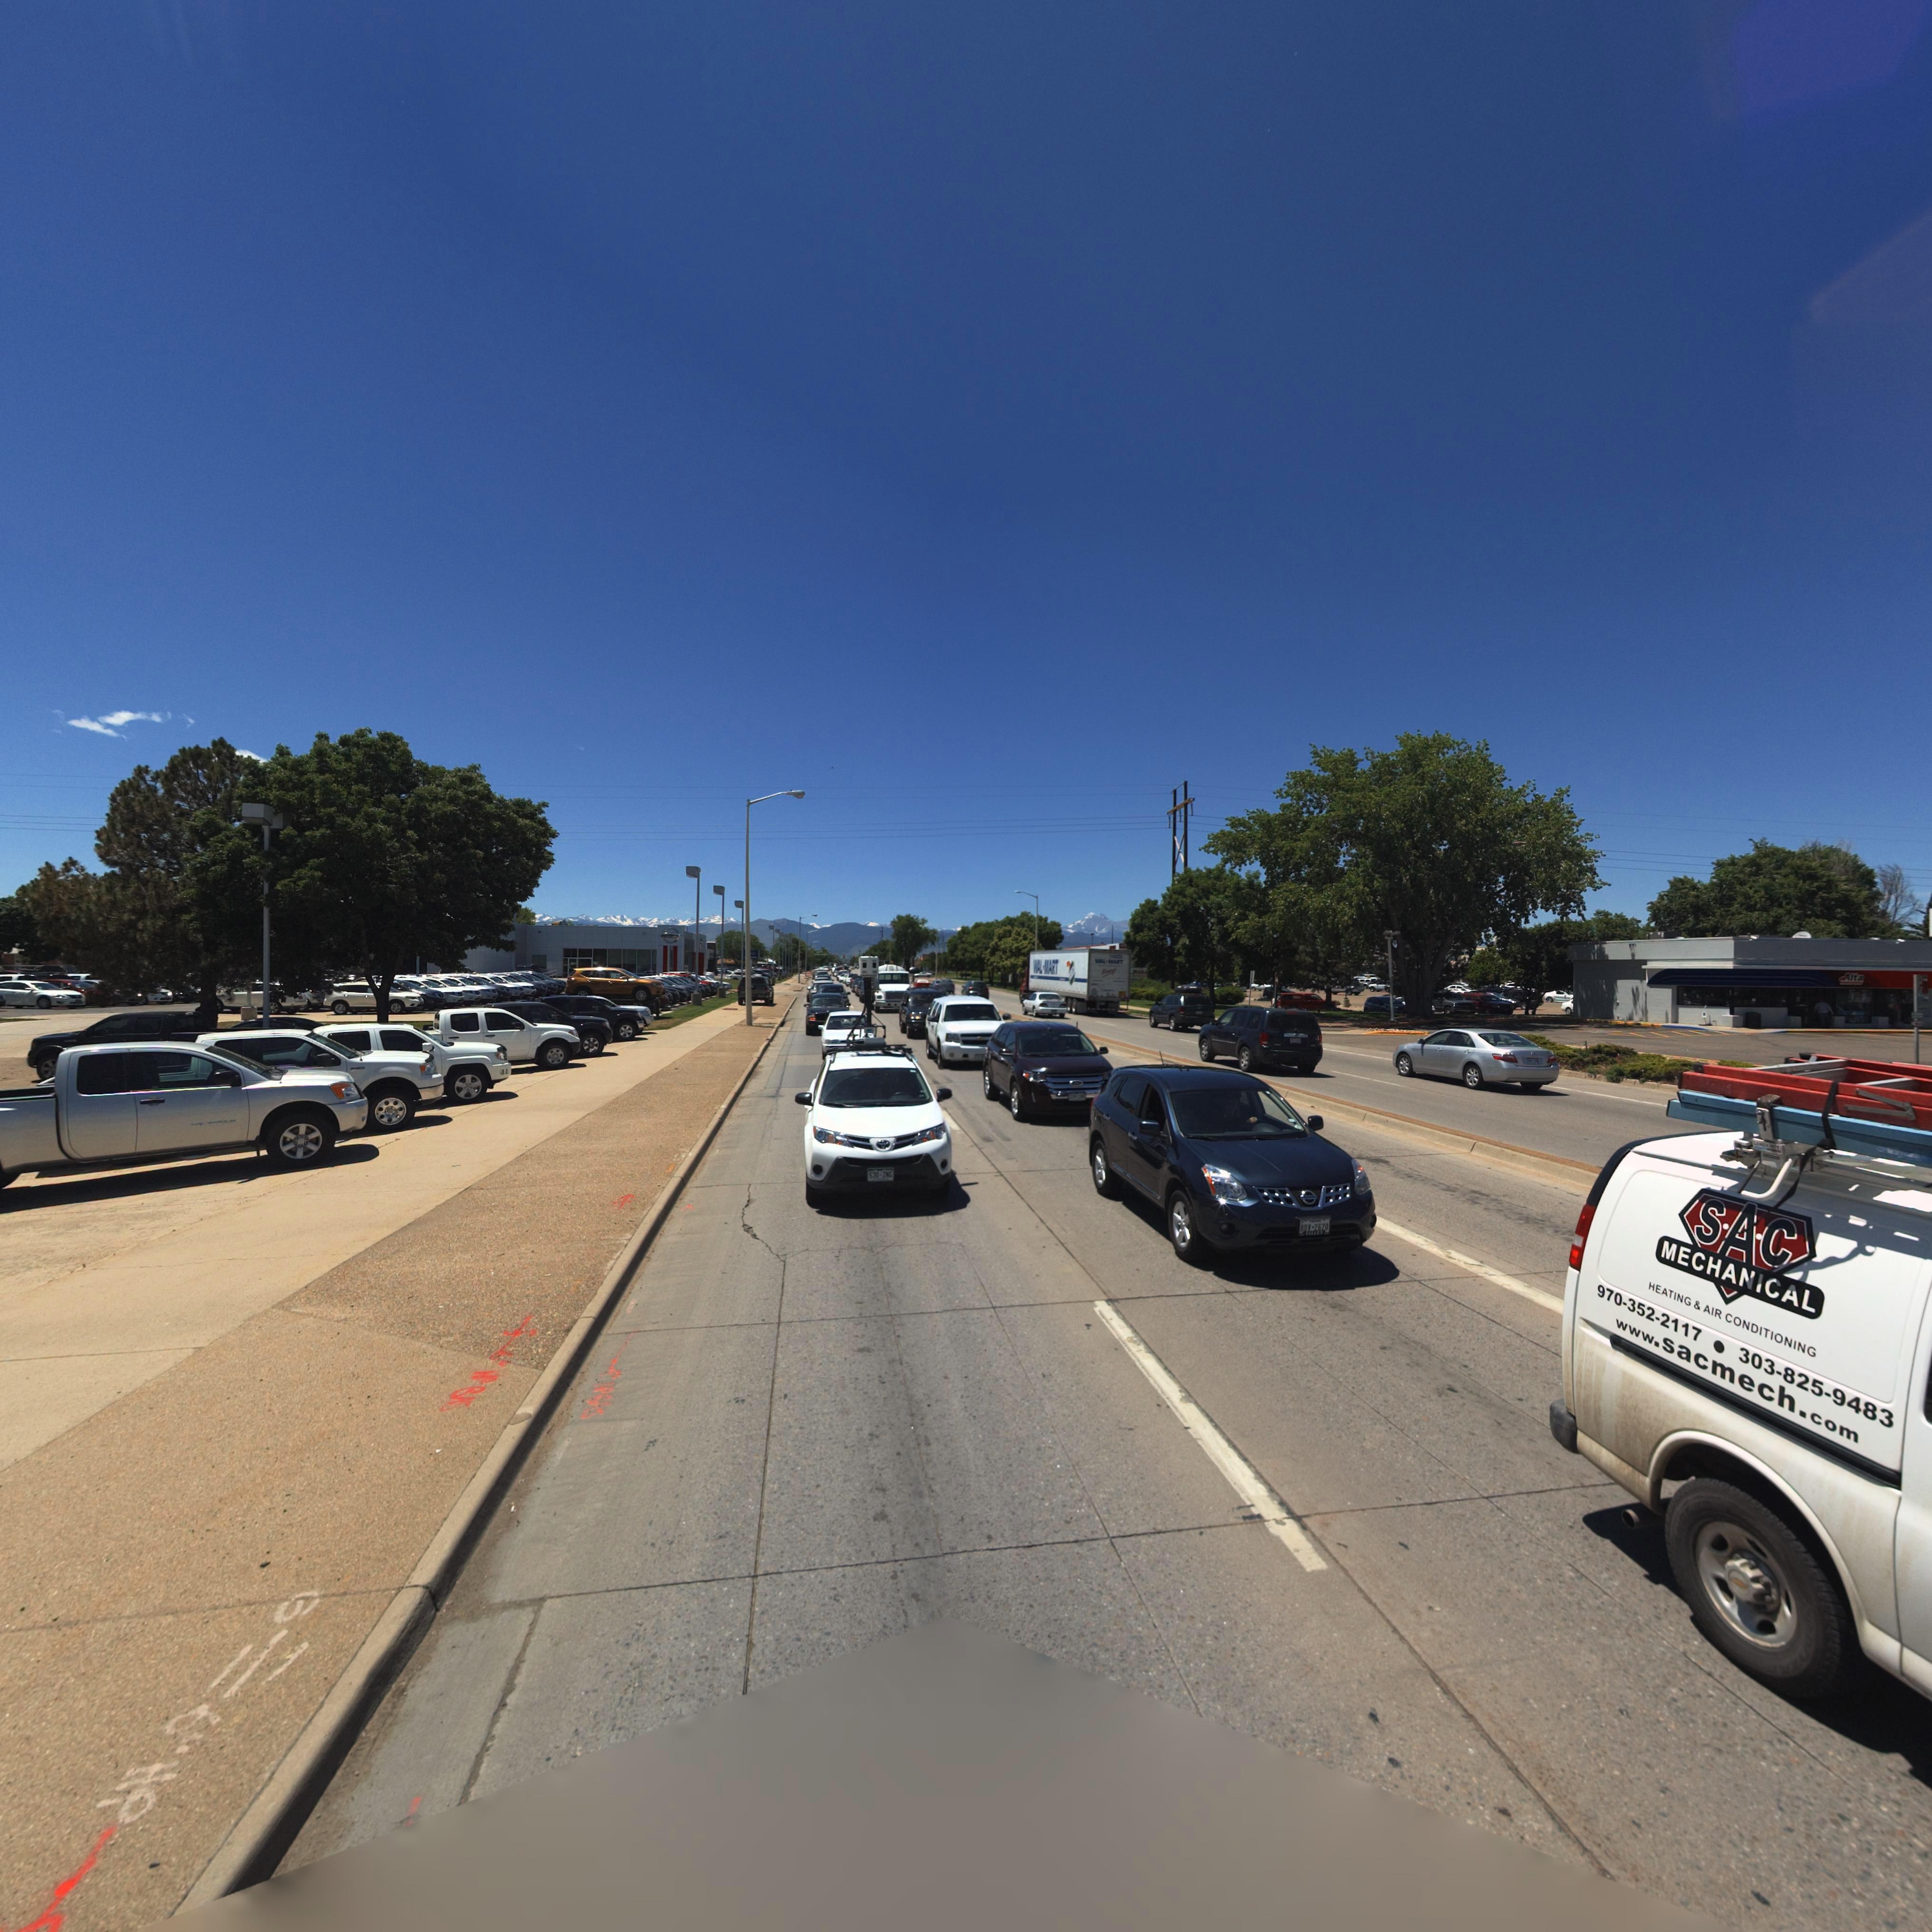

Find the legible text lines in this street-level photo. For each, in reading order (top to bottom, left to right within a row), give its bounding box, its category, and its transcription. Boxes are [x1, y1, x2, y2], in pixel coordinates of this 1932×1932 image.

[662, 933, 679, 937] BusinessName: ****AN
[1841, 972, 1864, 981] BusinessName: Alta